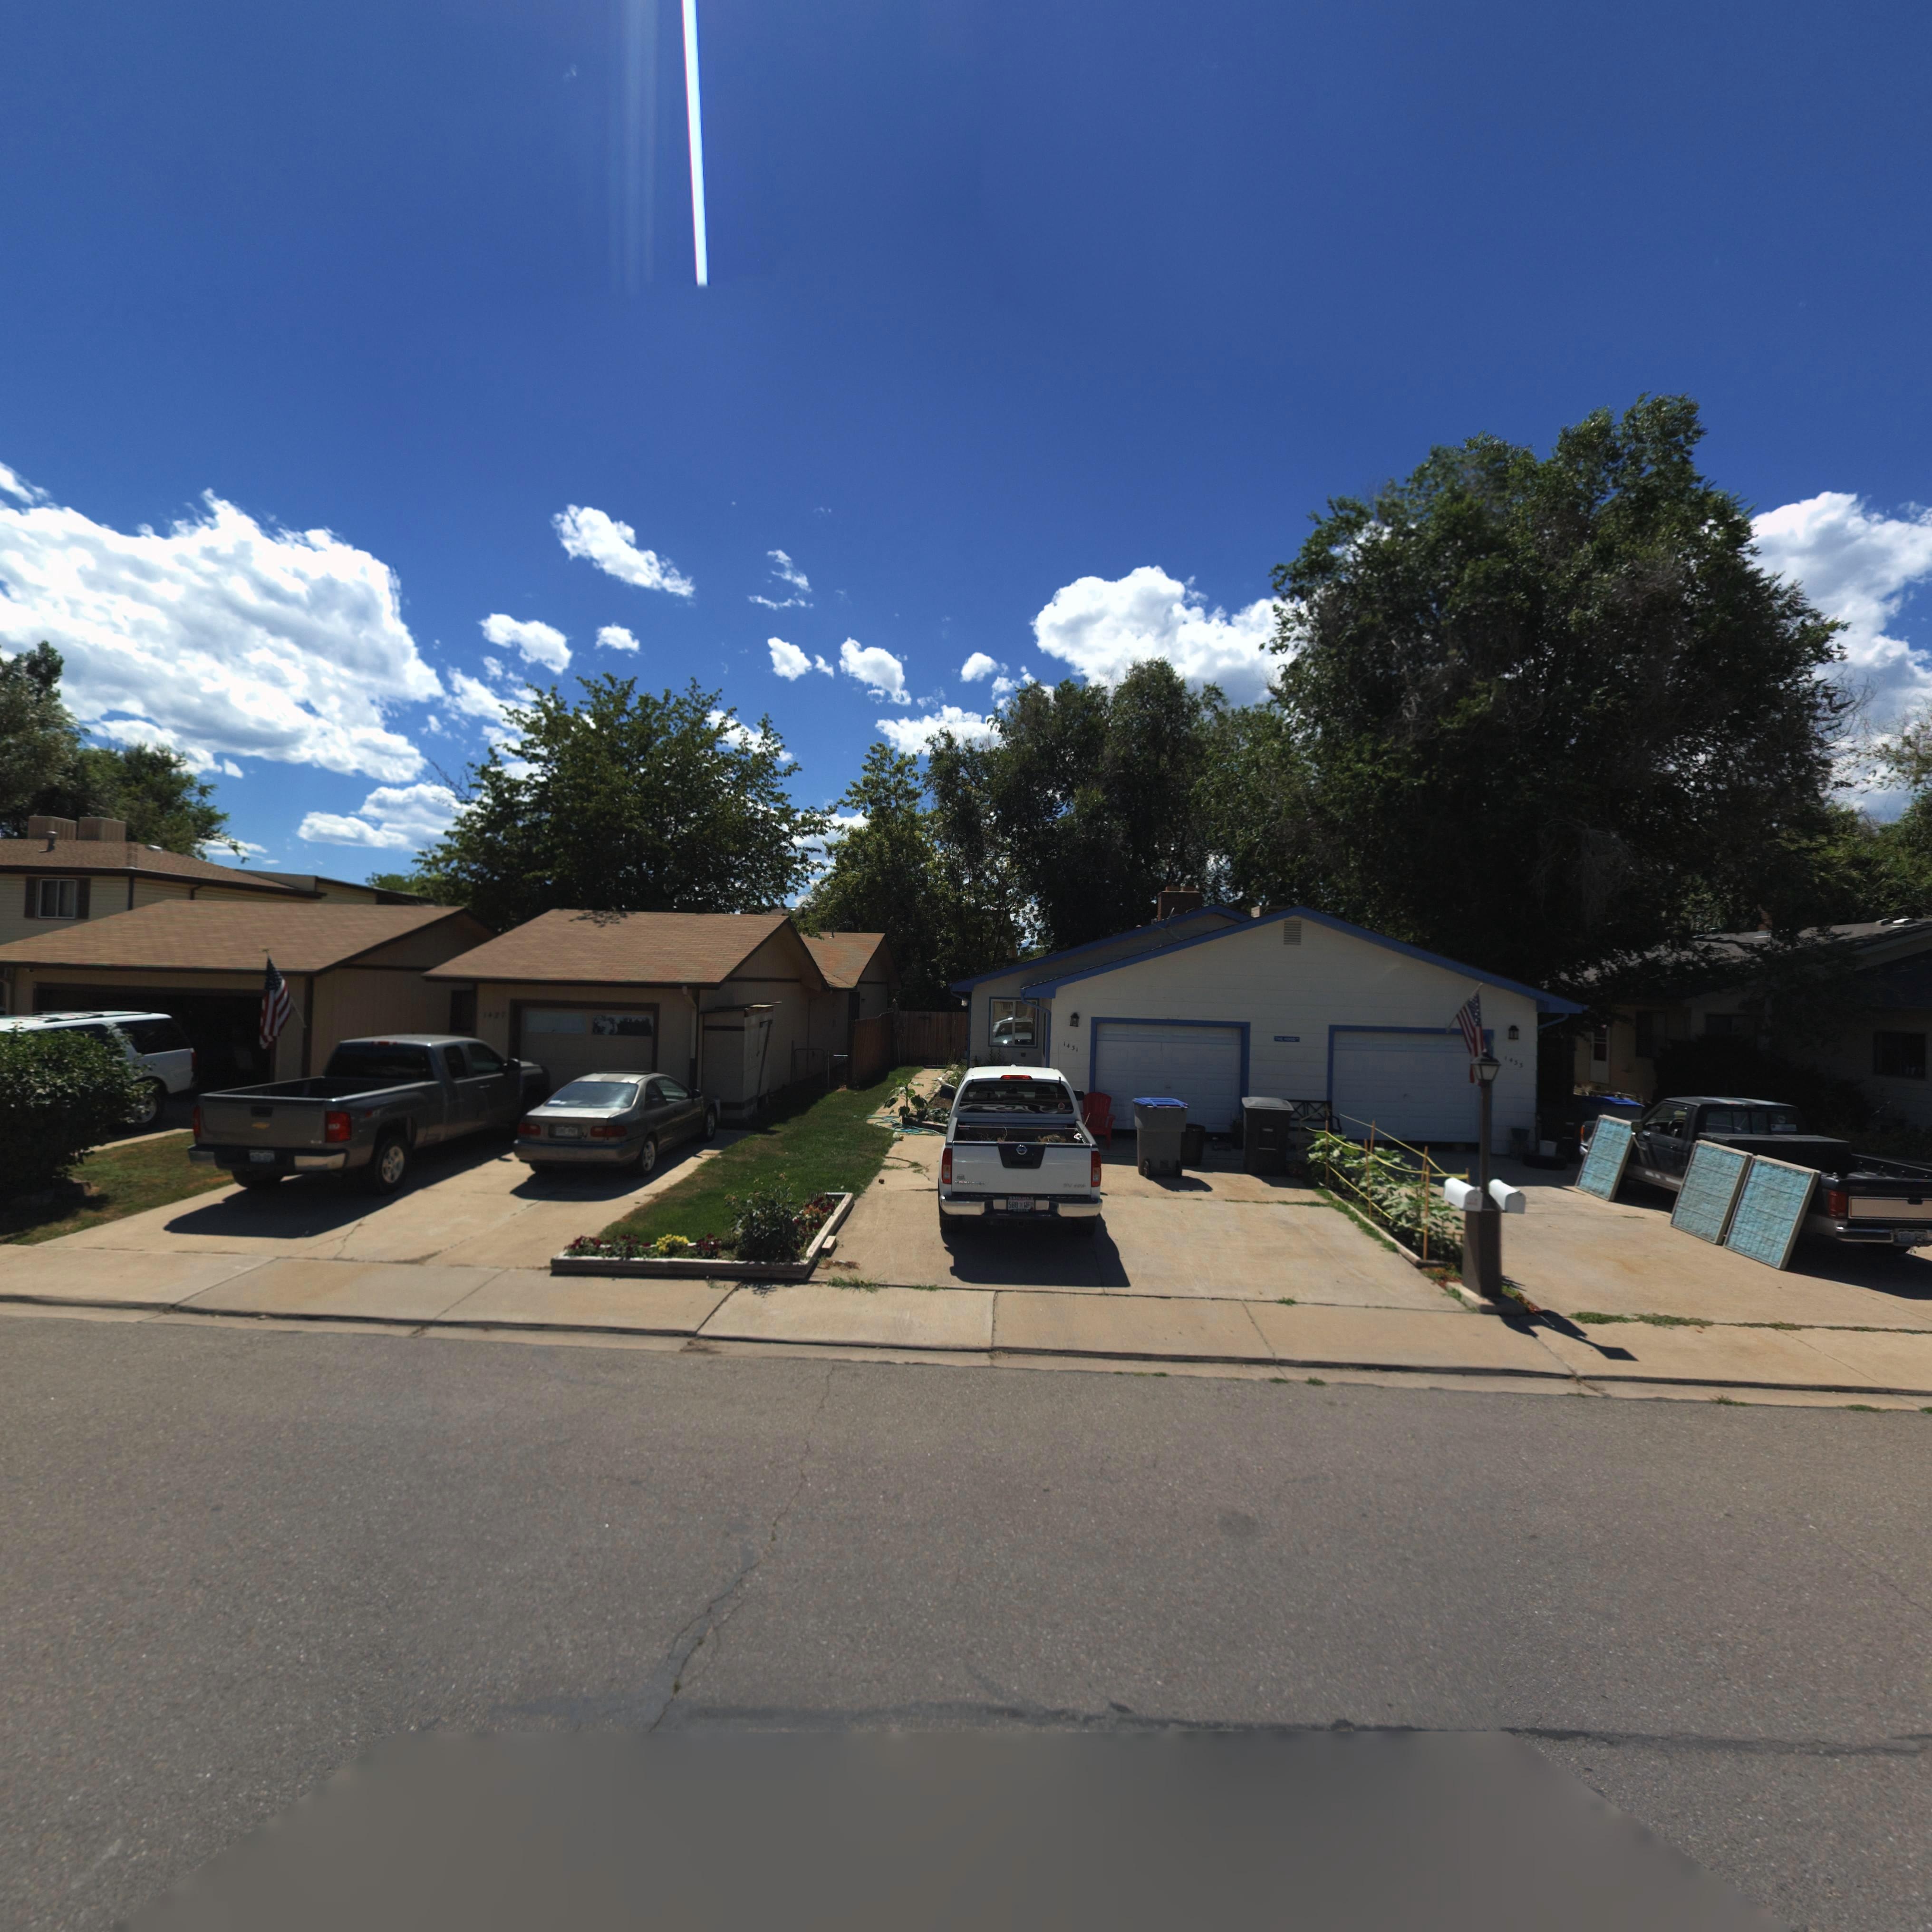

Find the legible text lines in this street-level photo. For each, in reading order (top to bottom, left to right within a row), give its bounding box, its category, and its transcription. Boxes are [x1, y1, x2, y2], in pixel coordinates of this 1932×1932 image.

[482, 1011, 507, 1019] StreetNumber: 1*27
[1063, 1041, 1078, 1053] StreetNumber: 1431
[1504, 1055, 1523, 1068] StreetNumber: 1433